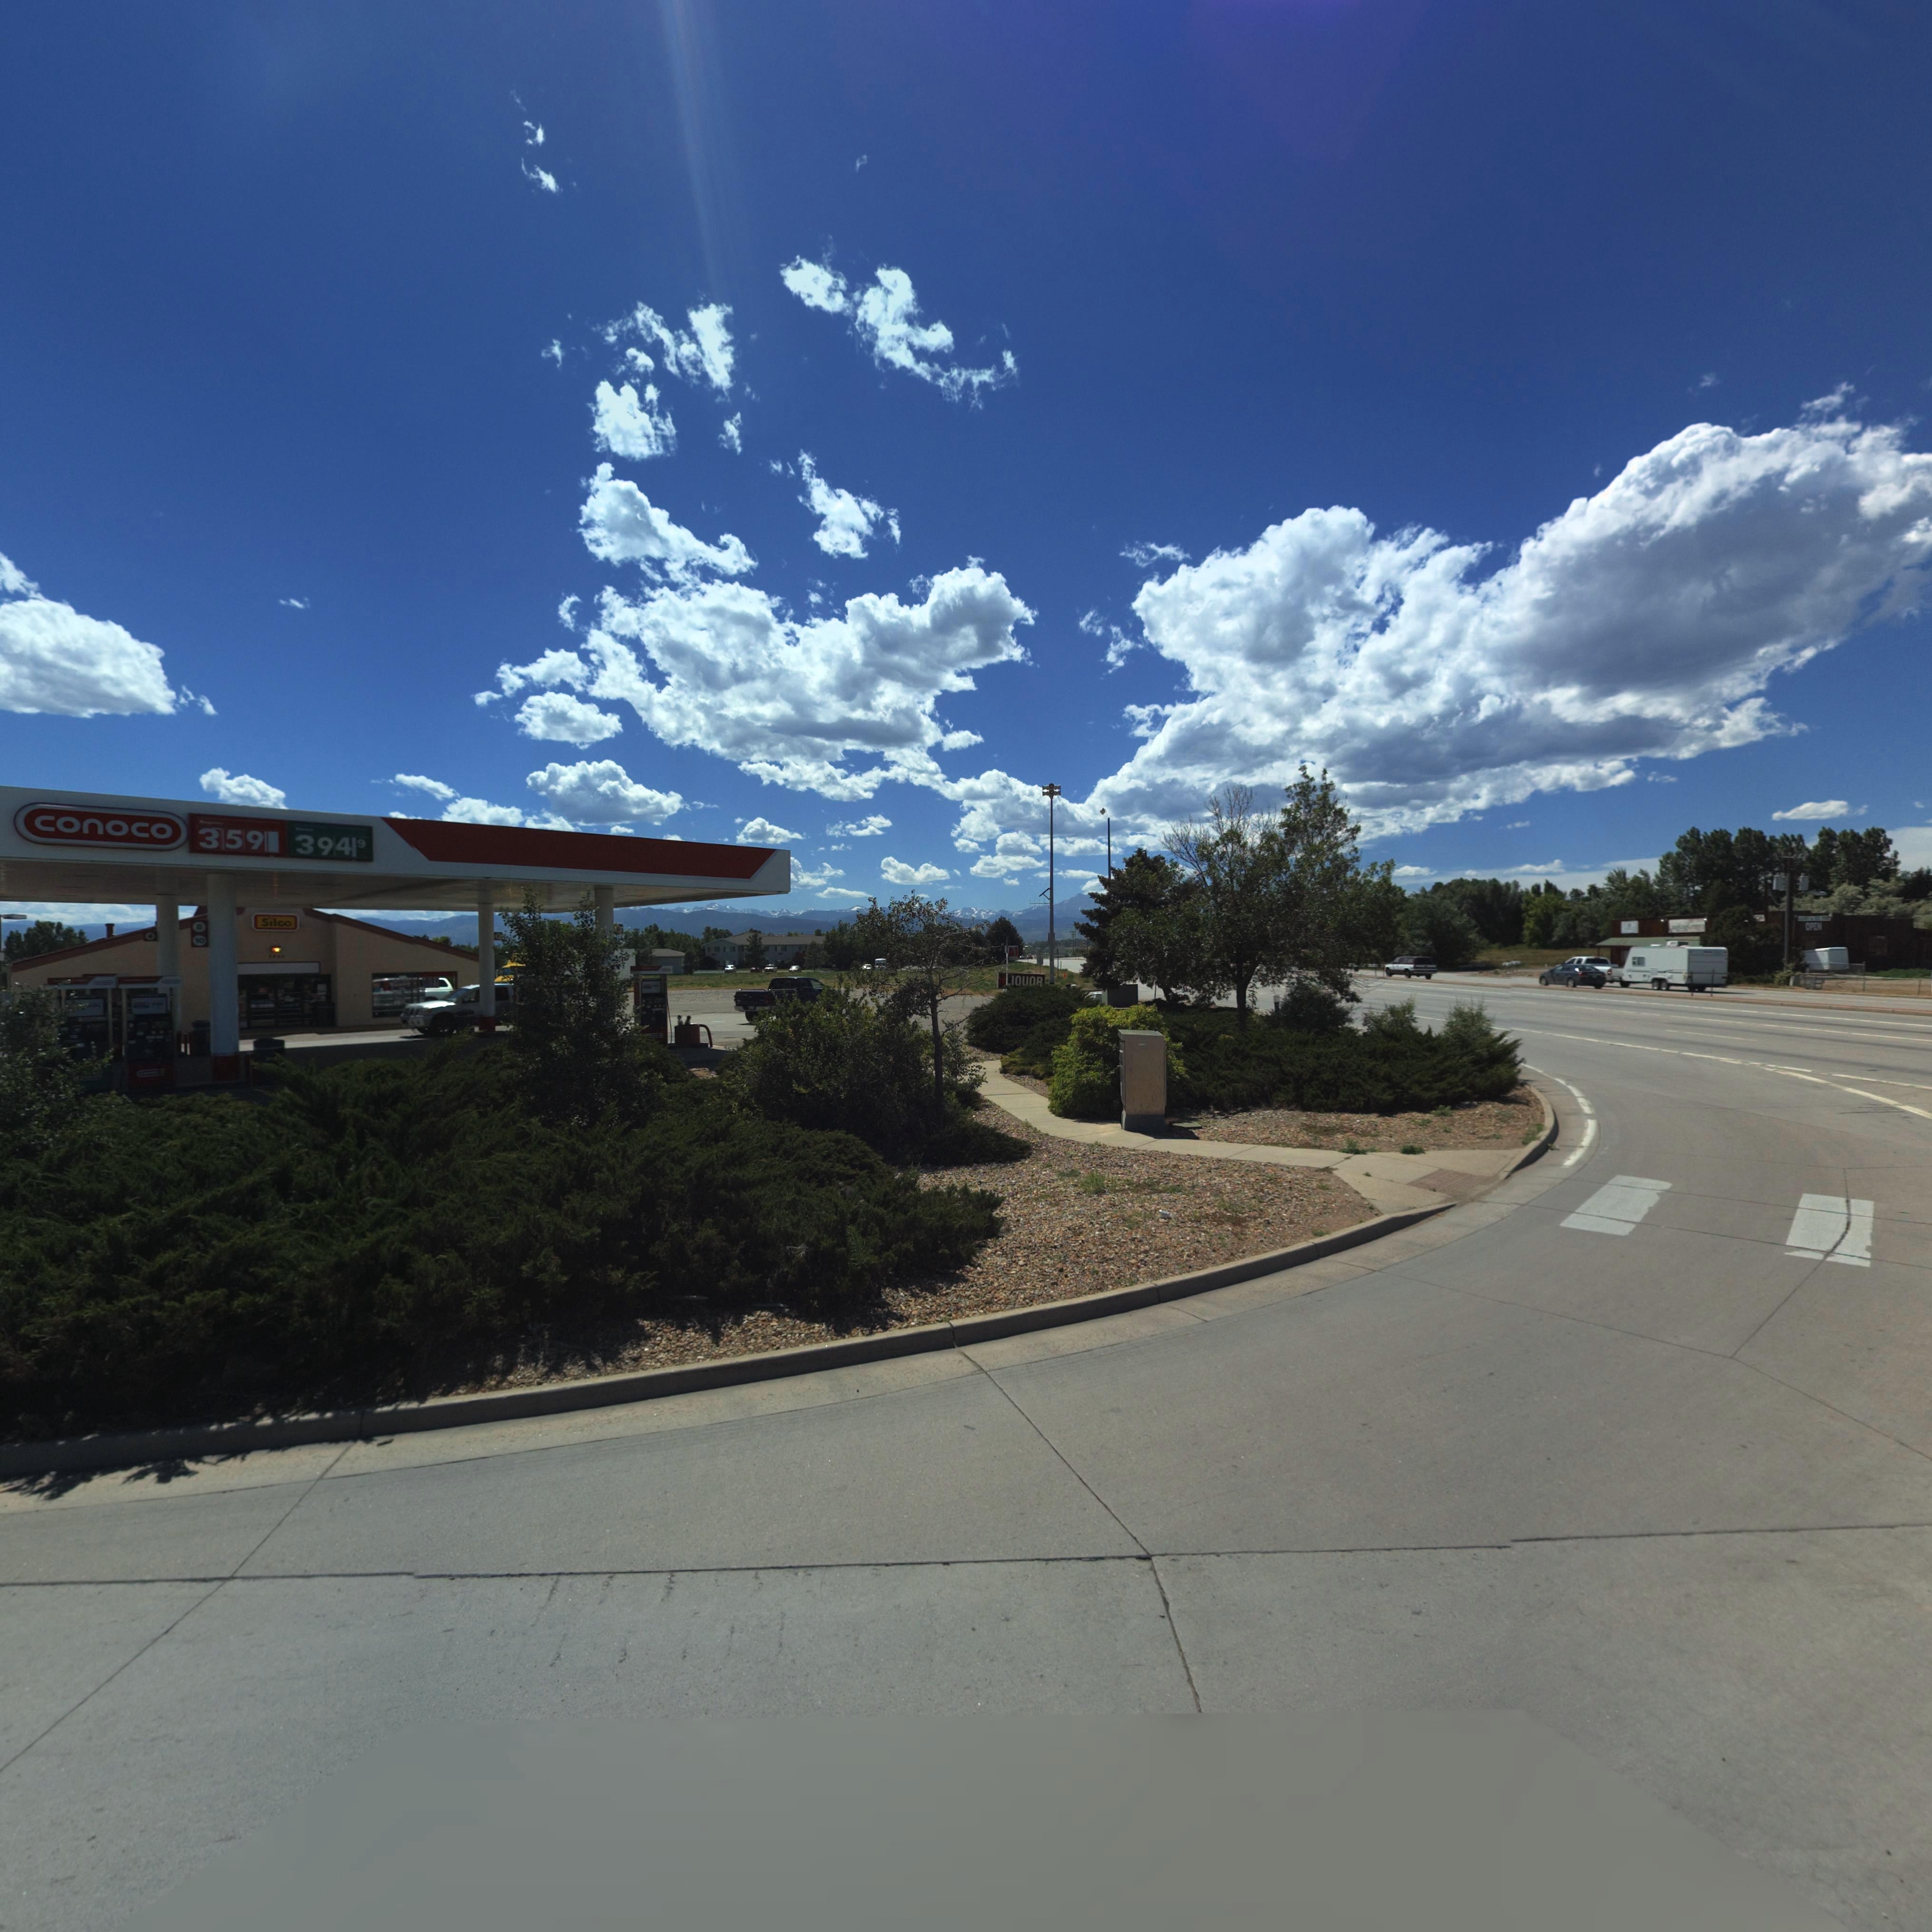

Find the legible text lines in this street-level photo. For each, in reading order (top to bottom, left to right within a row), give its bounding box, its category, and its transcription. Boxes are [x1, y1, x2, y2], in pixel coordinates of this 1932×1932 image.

[31, 813, 179, 840] BusinessName: conoco
[260, 917, 292, 927] BusinessName: Silco
[1669, 919, 1704, 932] None: ***ghungC***